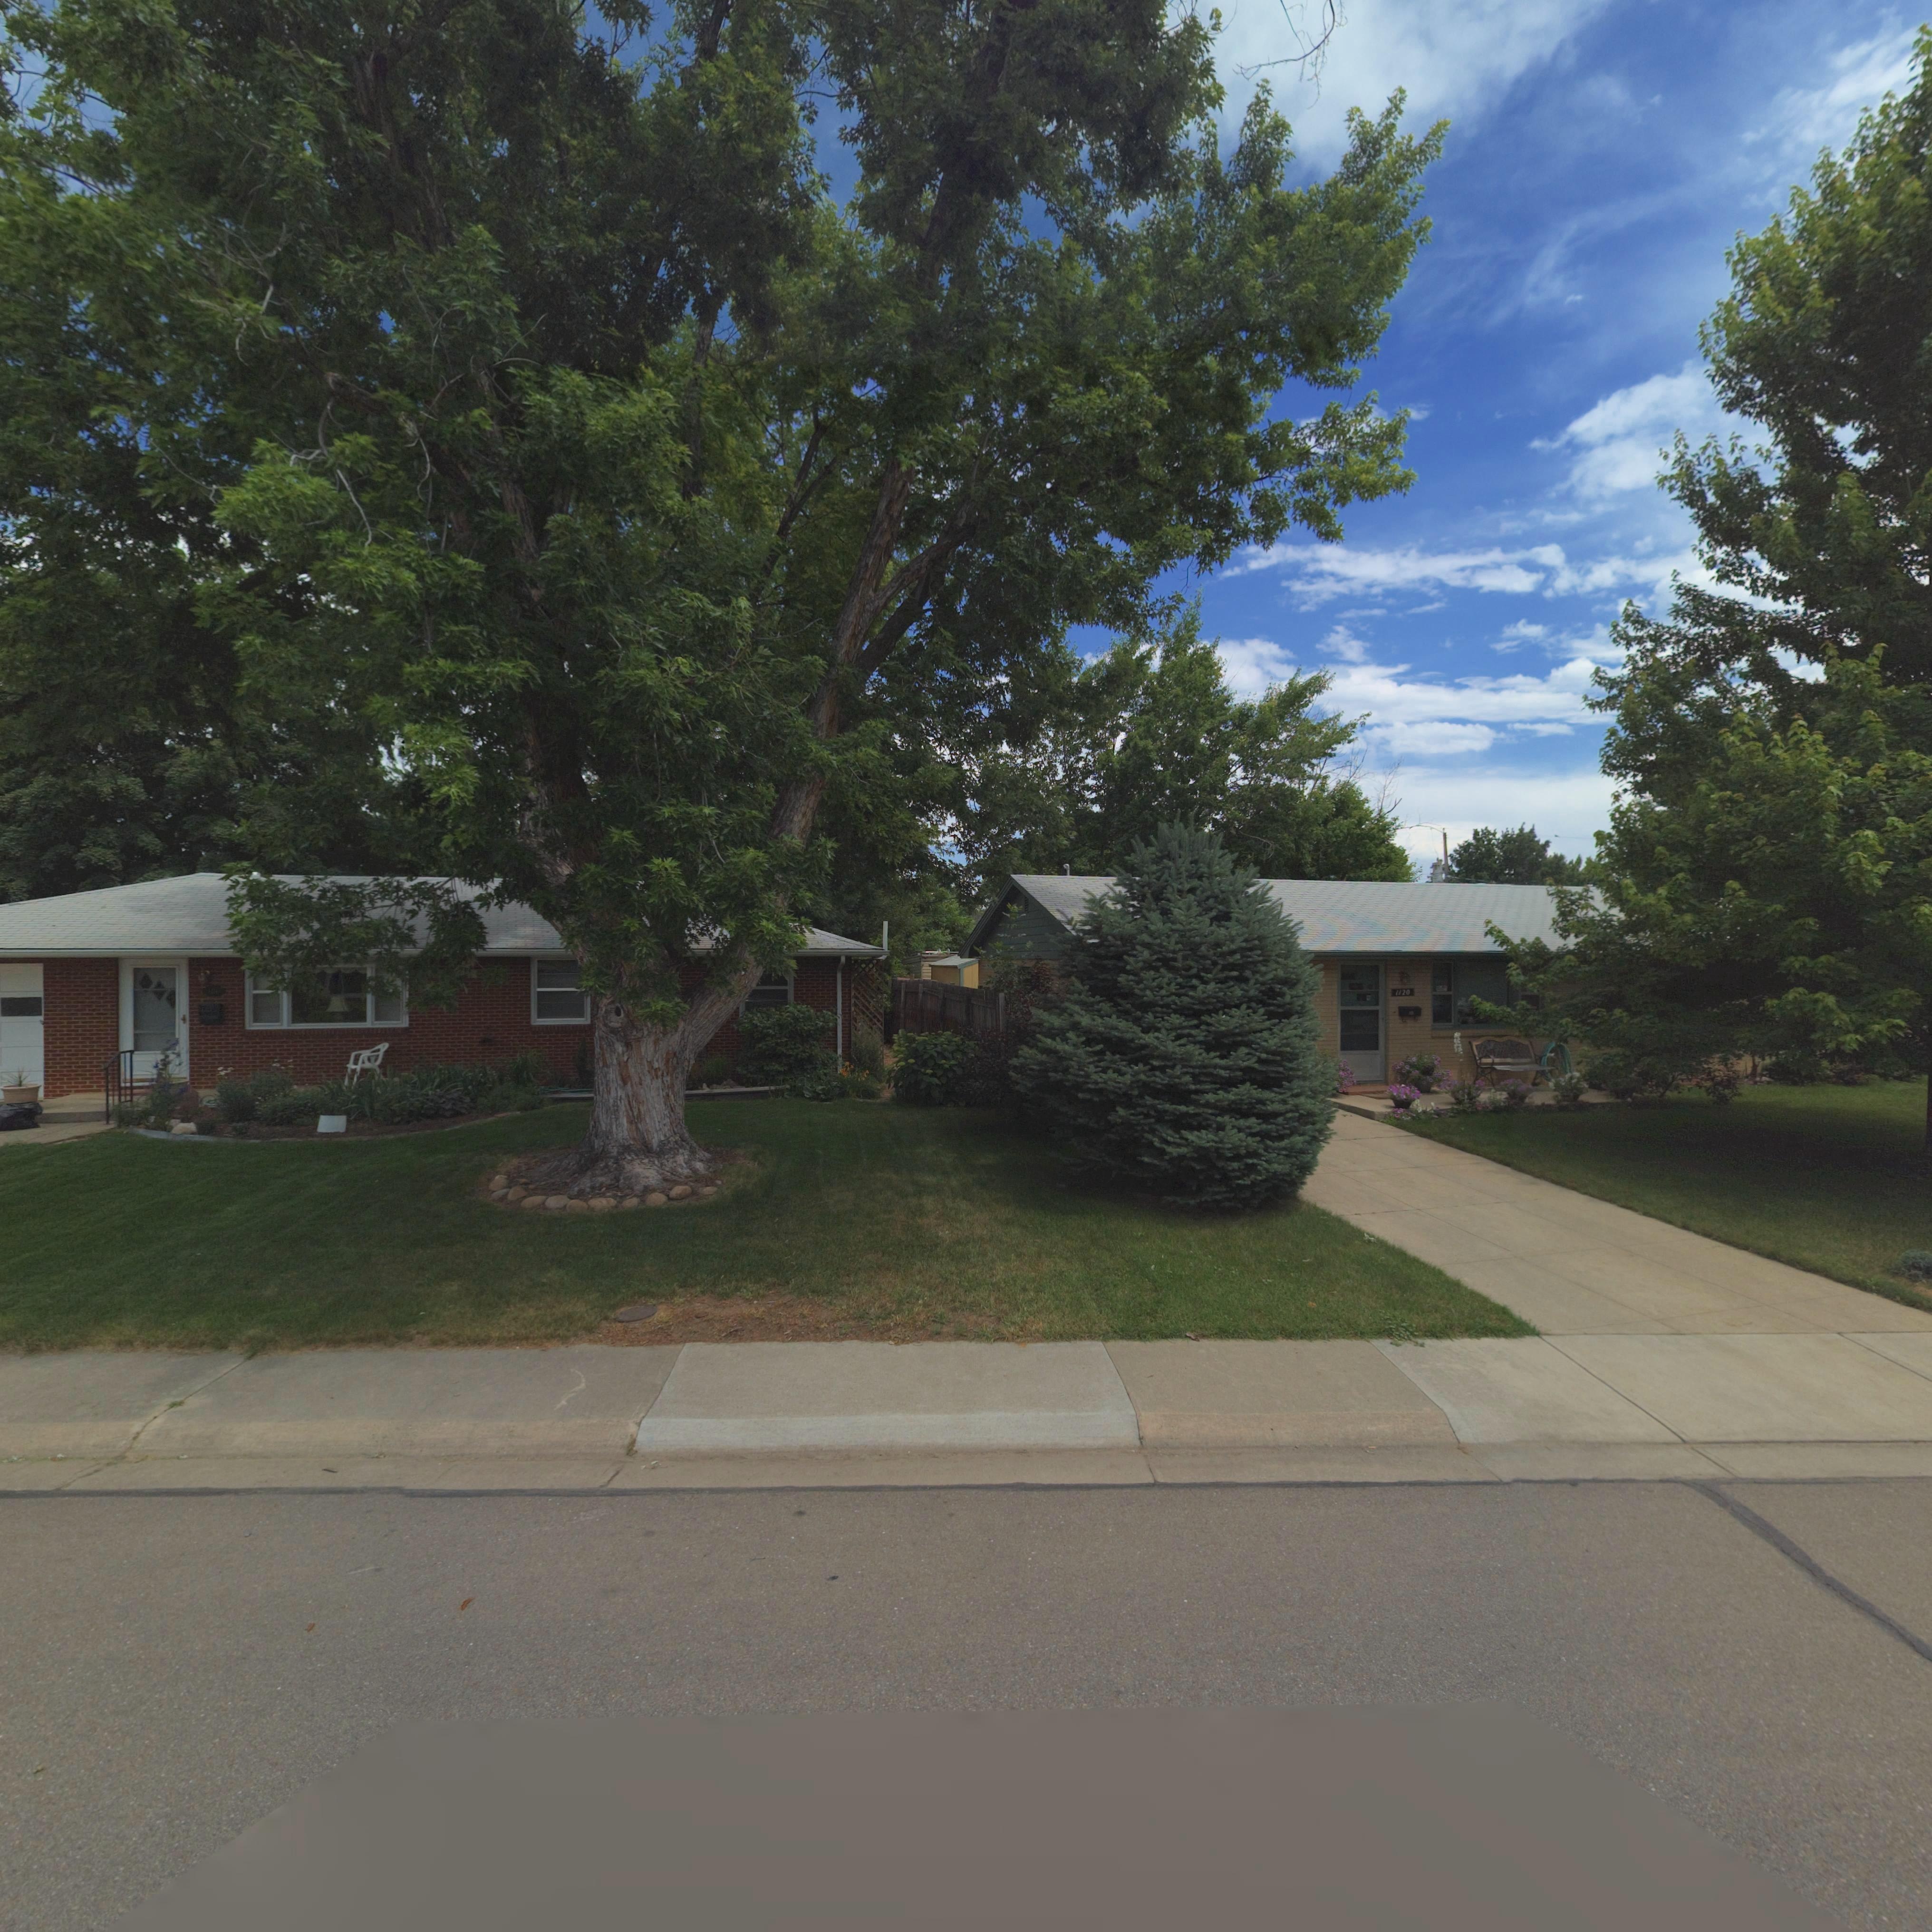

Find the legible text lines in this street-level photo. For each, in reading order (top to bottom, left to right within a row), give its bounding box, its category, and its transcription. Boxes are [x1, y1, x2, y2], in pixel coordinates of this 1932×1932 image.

[1394, 989, 1410, 995] StreetNumber: 1120